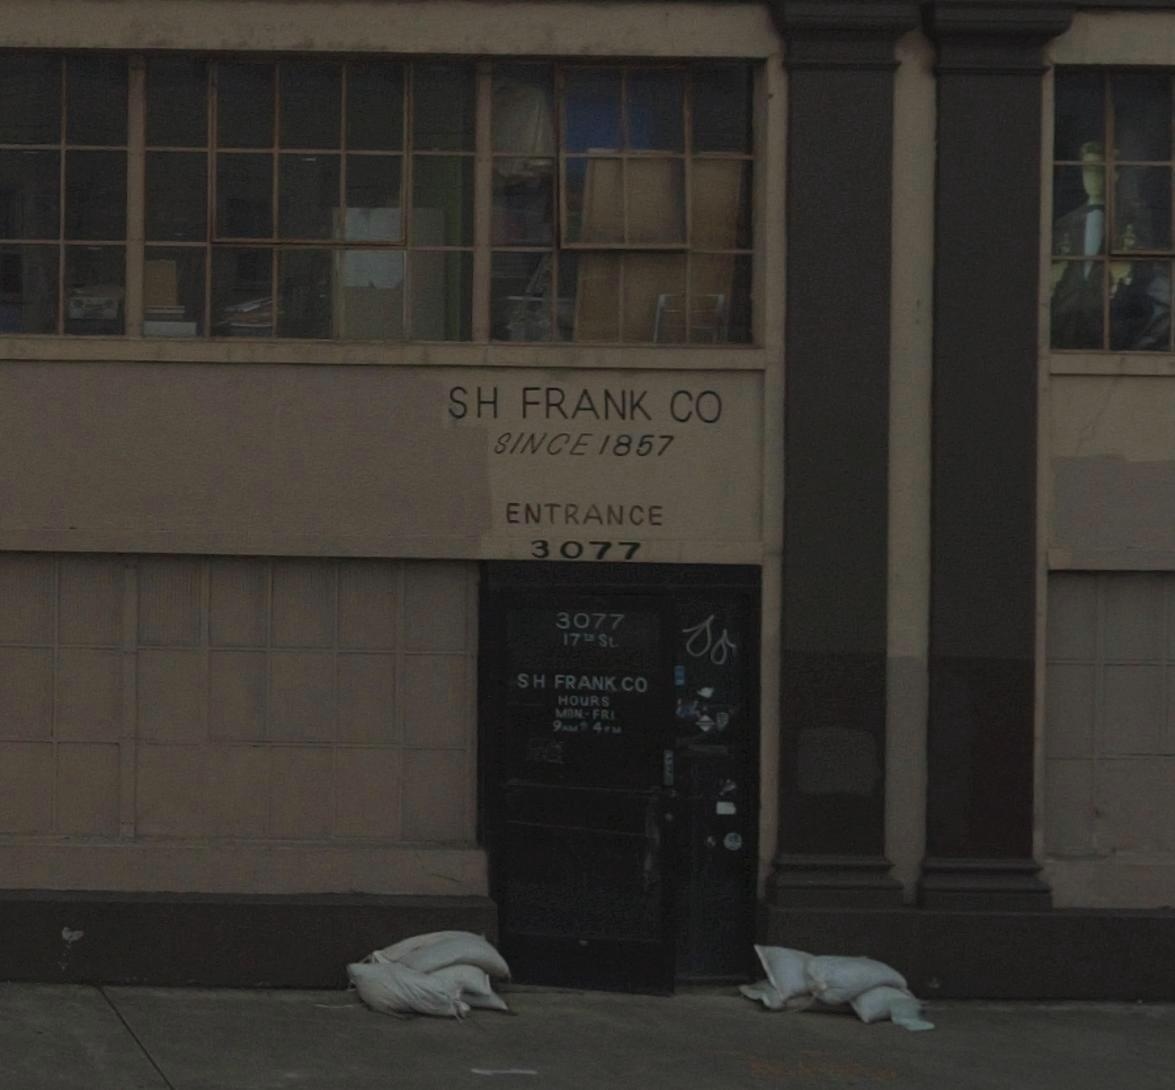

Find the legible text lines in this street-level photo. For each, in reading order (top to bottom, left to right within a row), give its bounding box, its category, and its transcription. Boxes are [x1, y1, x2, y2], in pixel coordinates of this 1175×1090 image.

[446, 383, 725, 424] BusinessName: SH FRANK CO
[492, 431, 680, 458] None: SINCE 1857
[504, 499, 664, 527] None: ENTRANCE
[527, 538, 646, 561] StreetNumber: 3077
[553, 611, 629, 631] StreetNumber: 3077
[562, 630, 618, 649] StreetName: 17th St
[515, 671, 649, 693] BusinessName: SH FRANK CO
[556, 693, 612, 708] None: HOURS
[554, 706, 617, 721] None: MON-FRI
[550, 718, 623, 735] None: 9AM*4PM